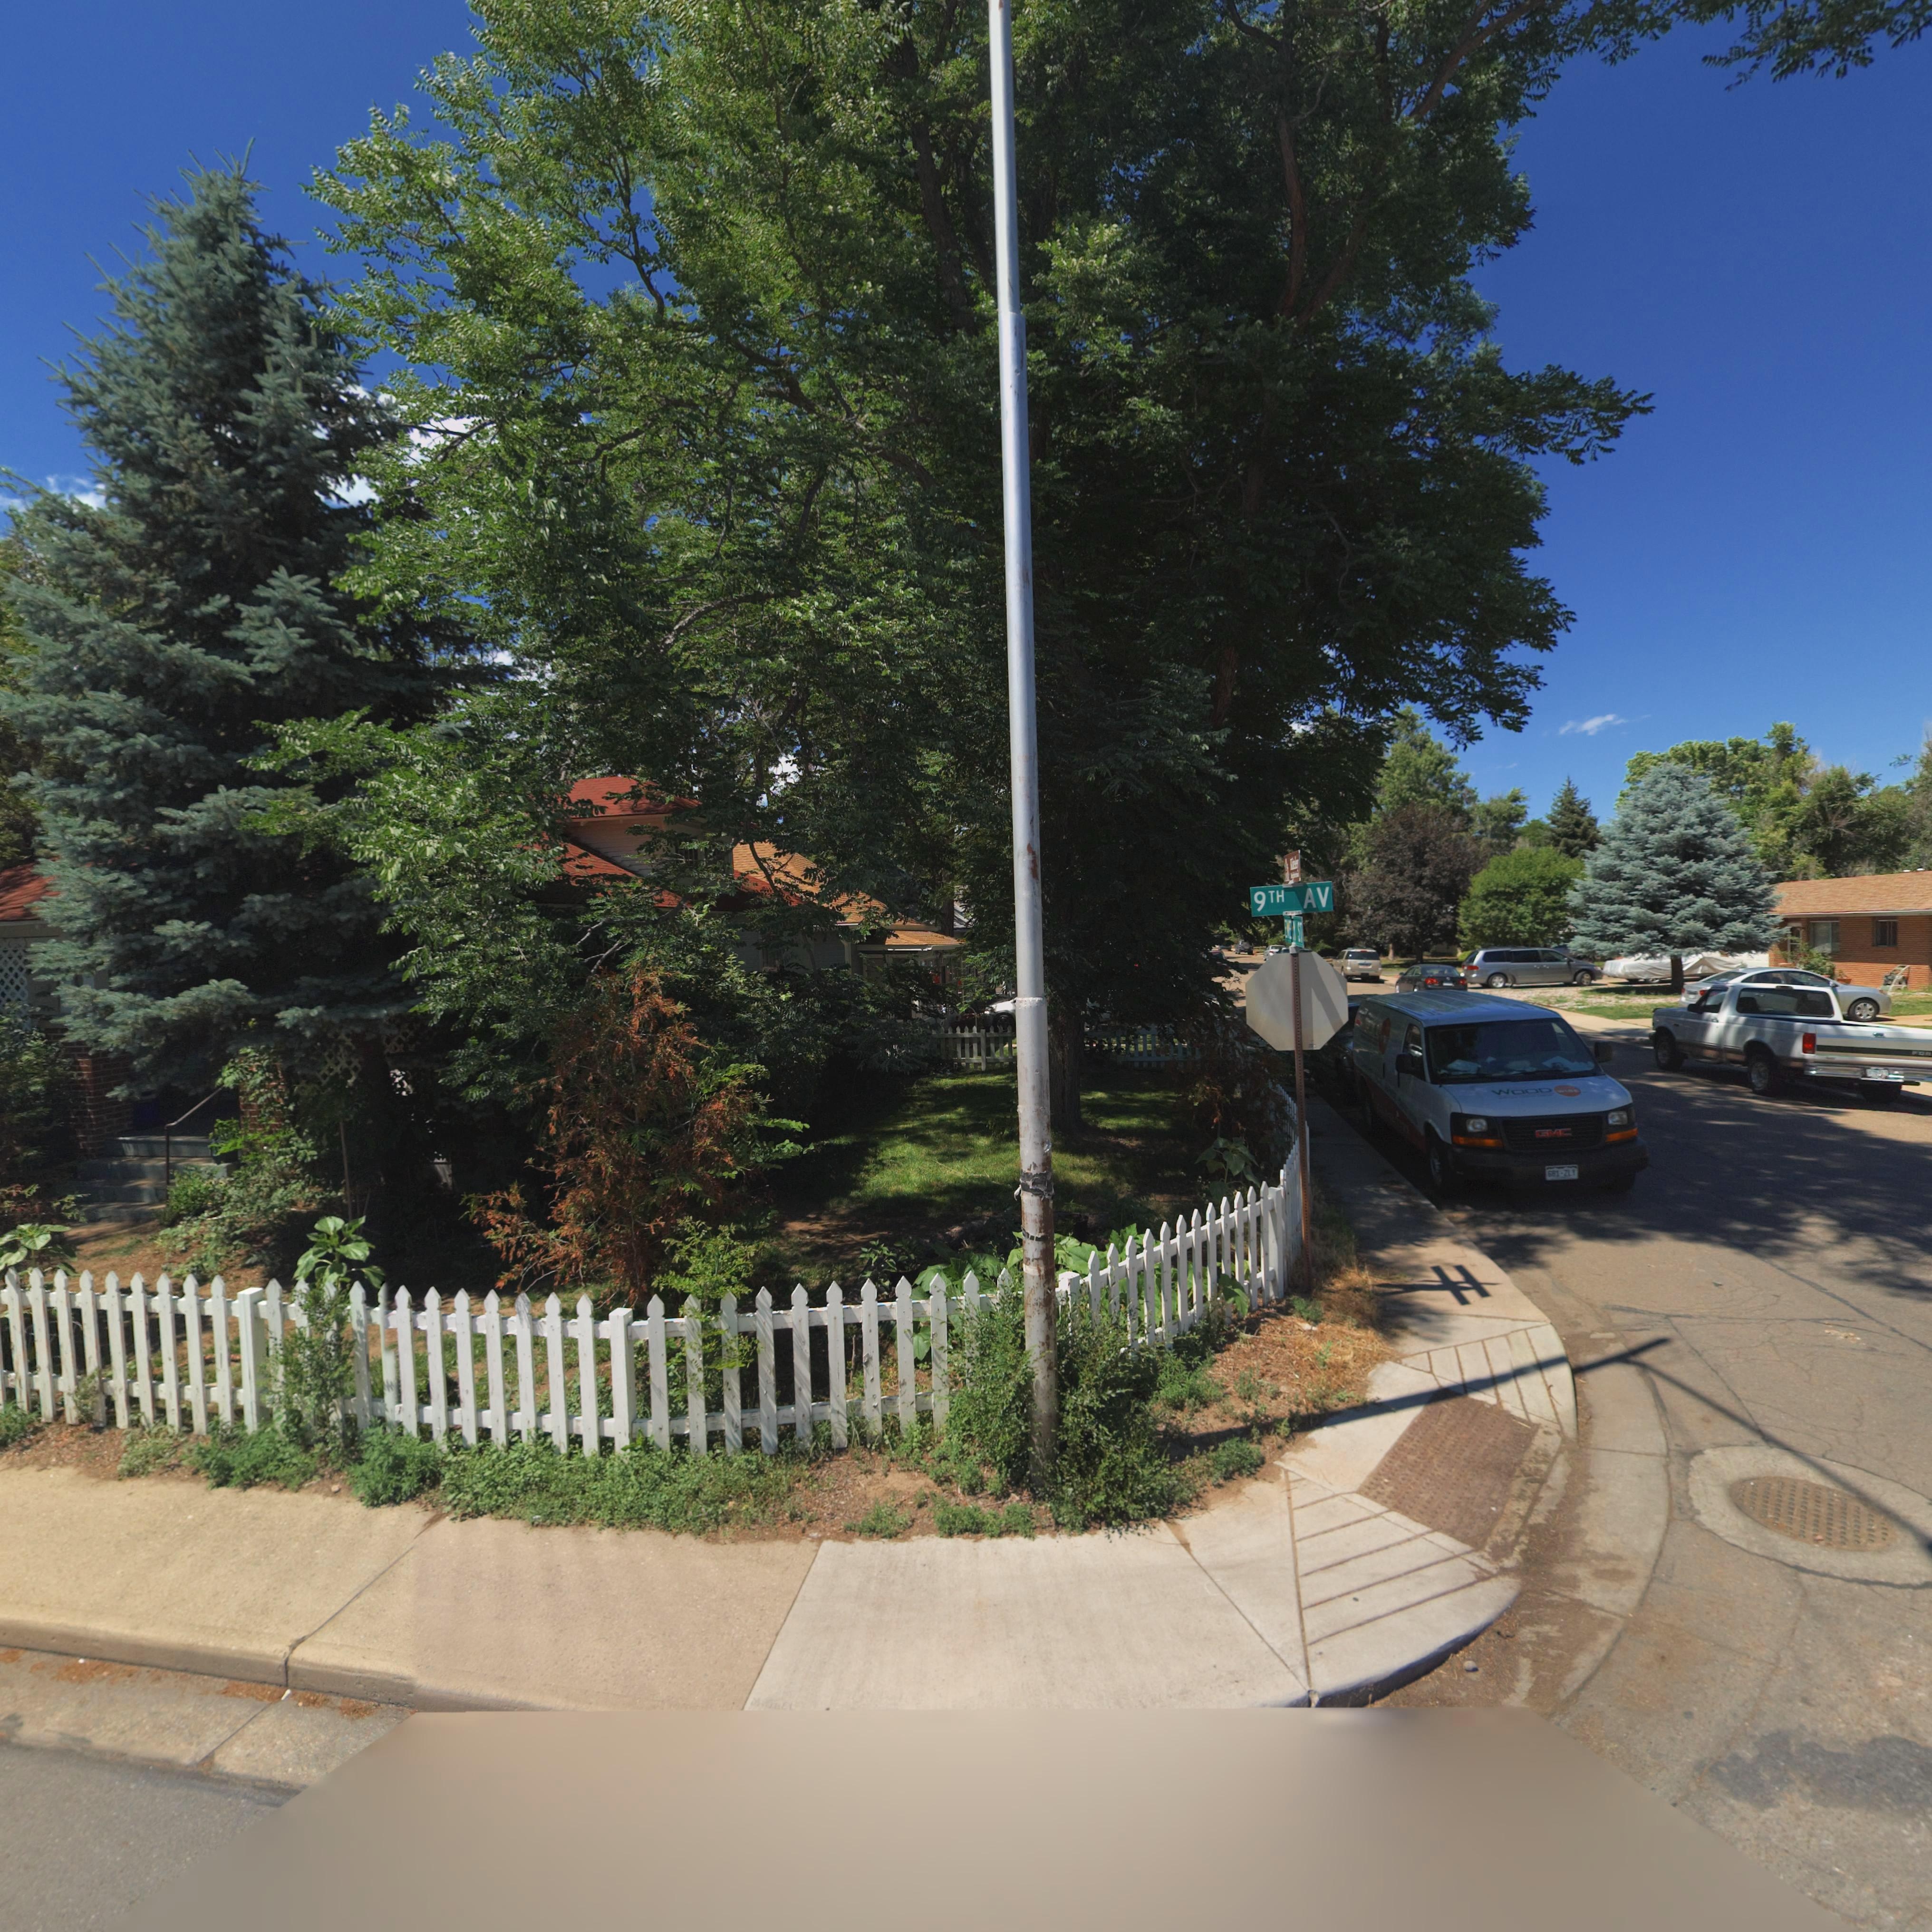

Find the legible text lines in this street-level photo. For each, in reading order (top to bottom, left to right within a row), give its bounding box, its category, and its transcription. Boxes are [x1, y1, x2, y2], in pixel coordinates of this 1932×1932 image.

[1253, 886, 1330, 912] StreetName: 9TH AV
[1284, 920, 1302, 942] StreetName: EME*Y ST